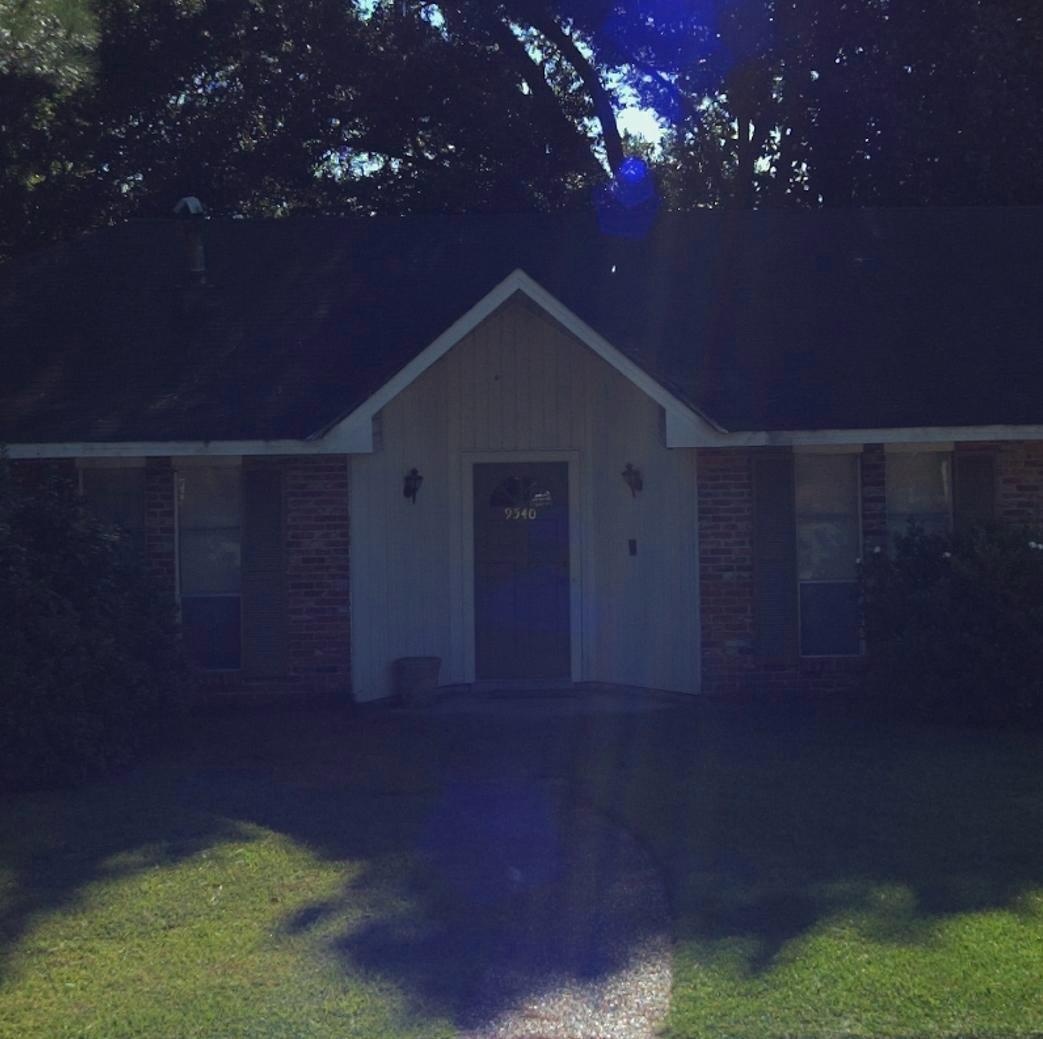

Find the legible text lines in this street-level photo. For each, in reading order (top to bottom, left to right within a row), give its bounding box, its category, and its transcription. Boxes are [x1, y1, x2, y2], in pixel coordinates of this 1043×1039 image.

[503, 506, 537, 520] StreetNumber: 9540